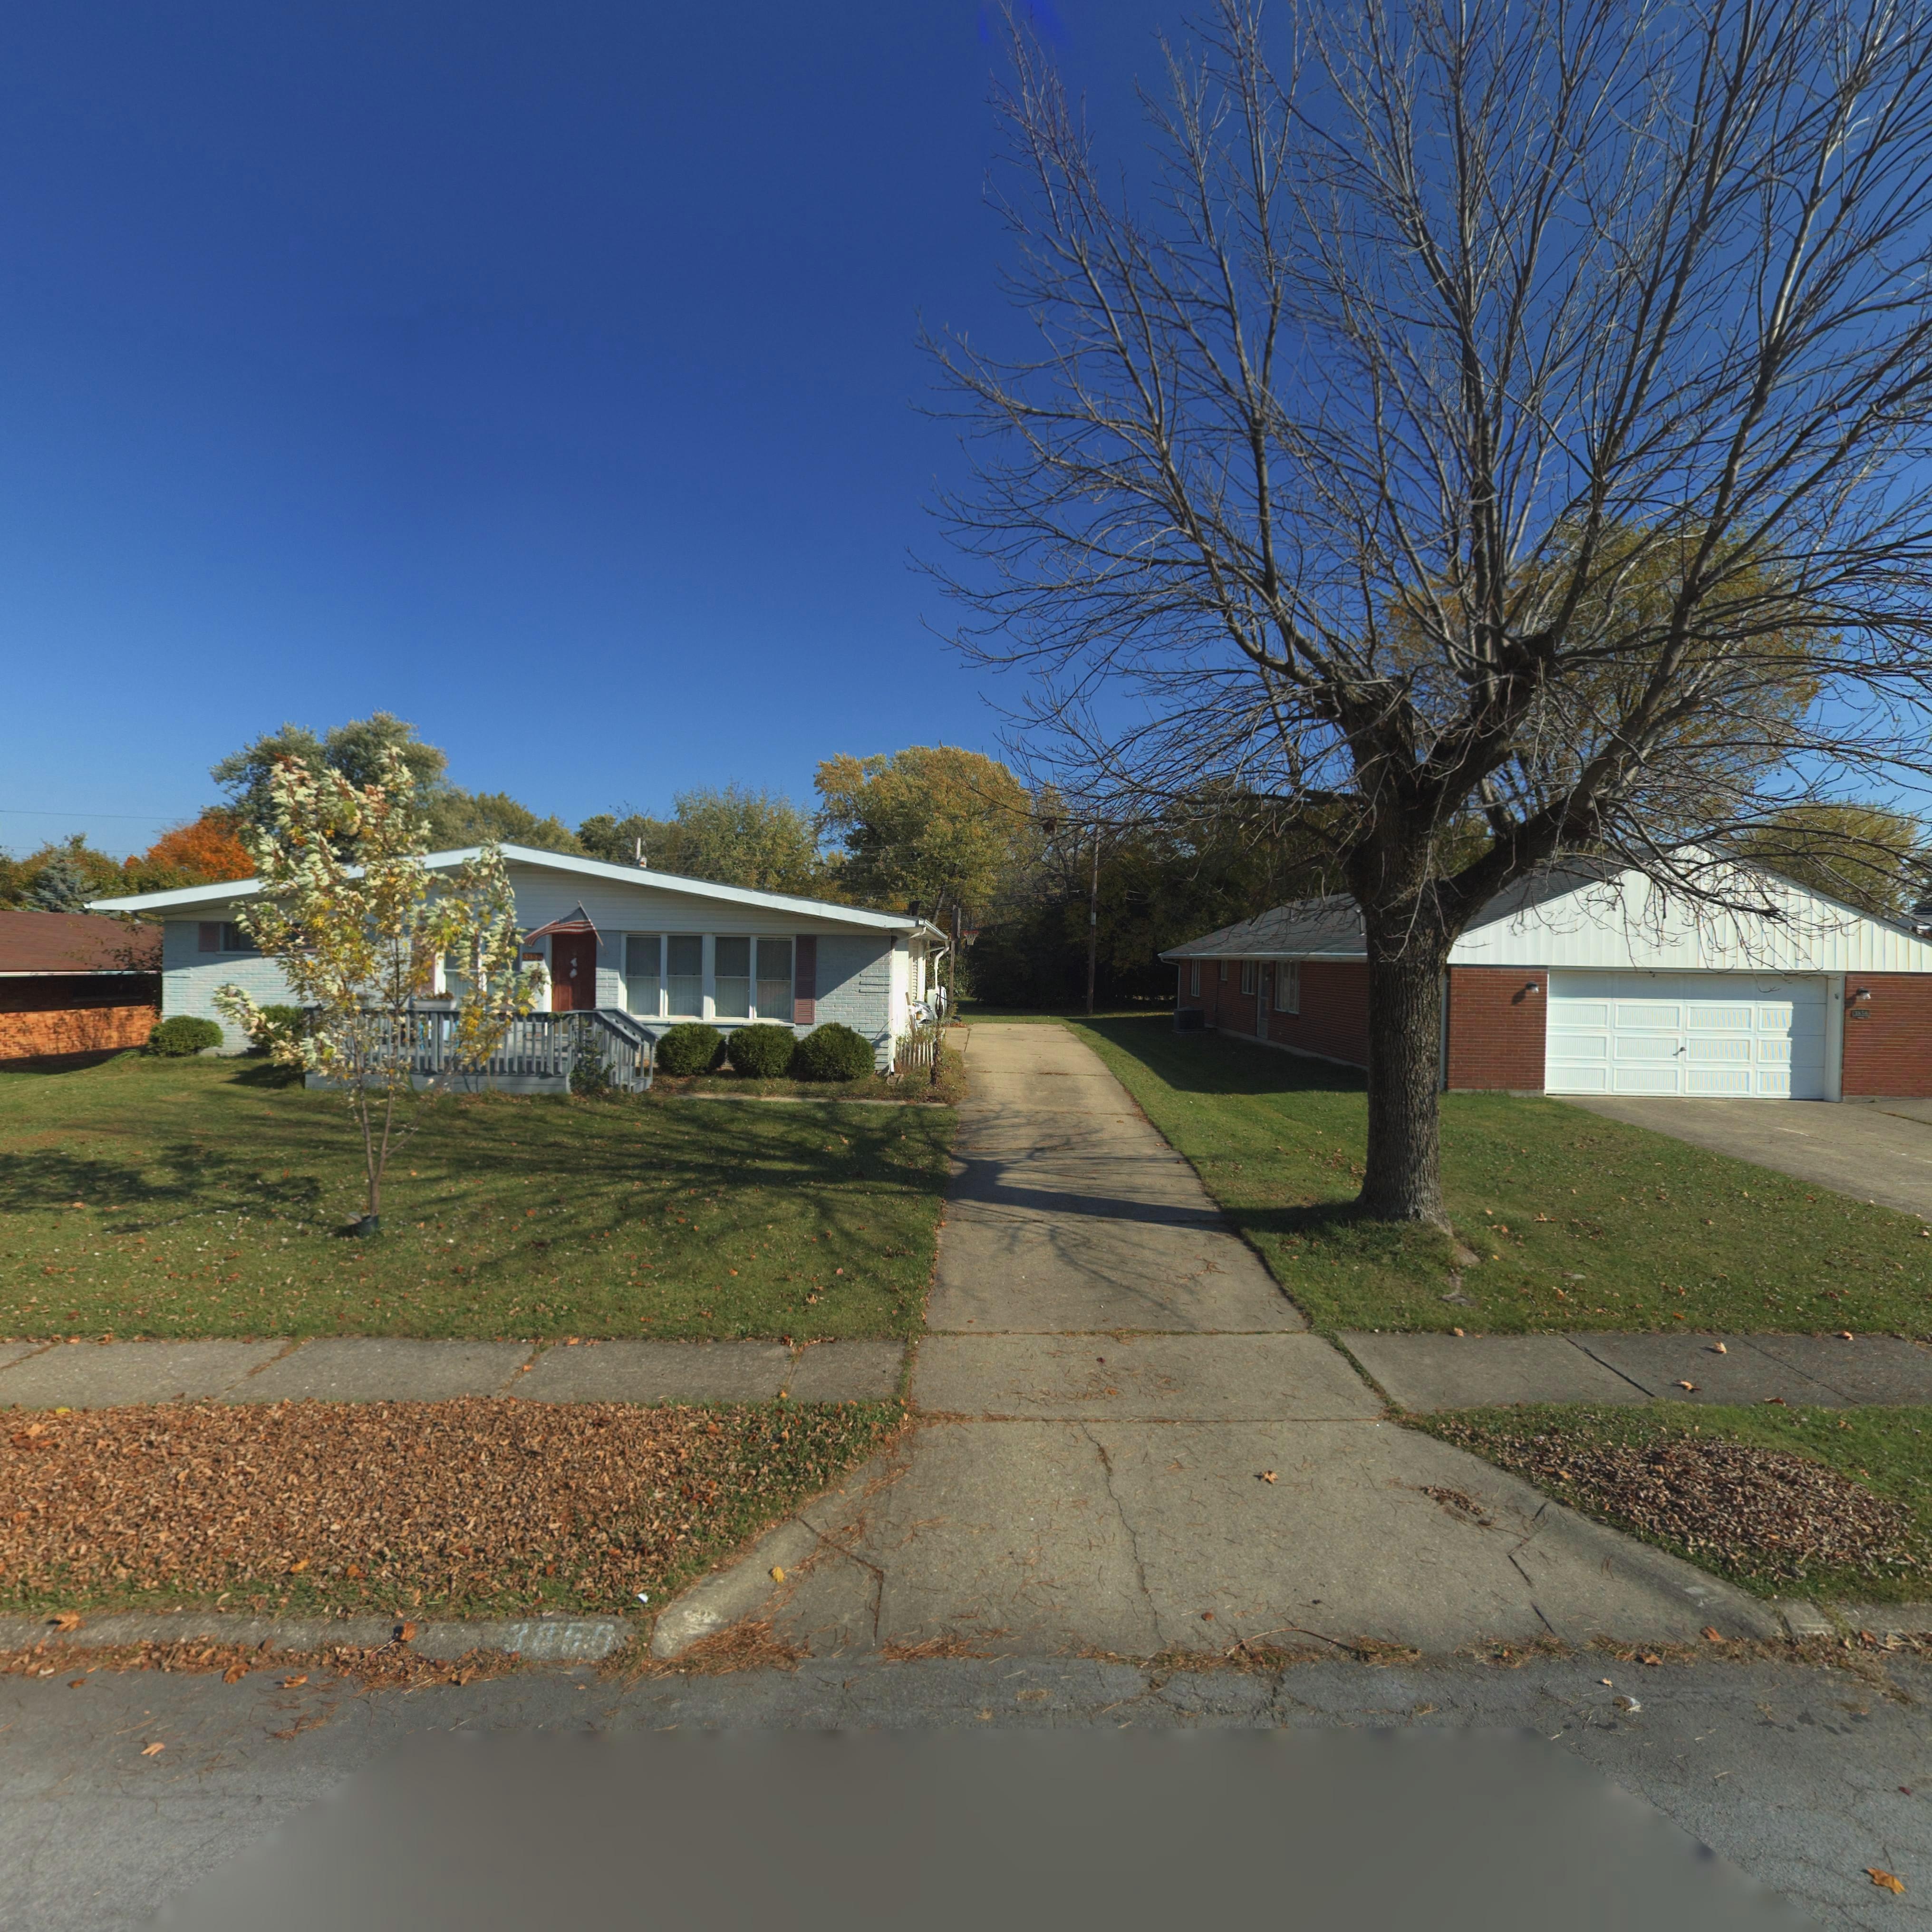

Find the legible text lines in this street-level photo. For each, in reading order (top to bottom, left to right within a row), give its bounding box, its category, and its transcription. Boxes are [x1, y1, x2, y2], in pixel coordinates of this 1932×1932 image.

[522, 953, 543, 960] StreetNumber: 3*5*
[502, 1620, 618, 1657] StreetNumber: 3850